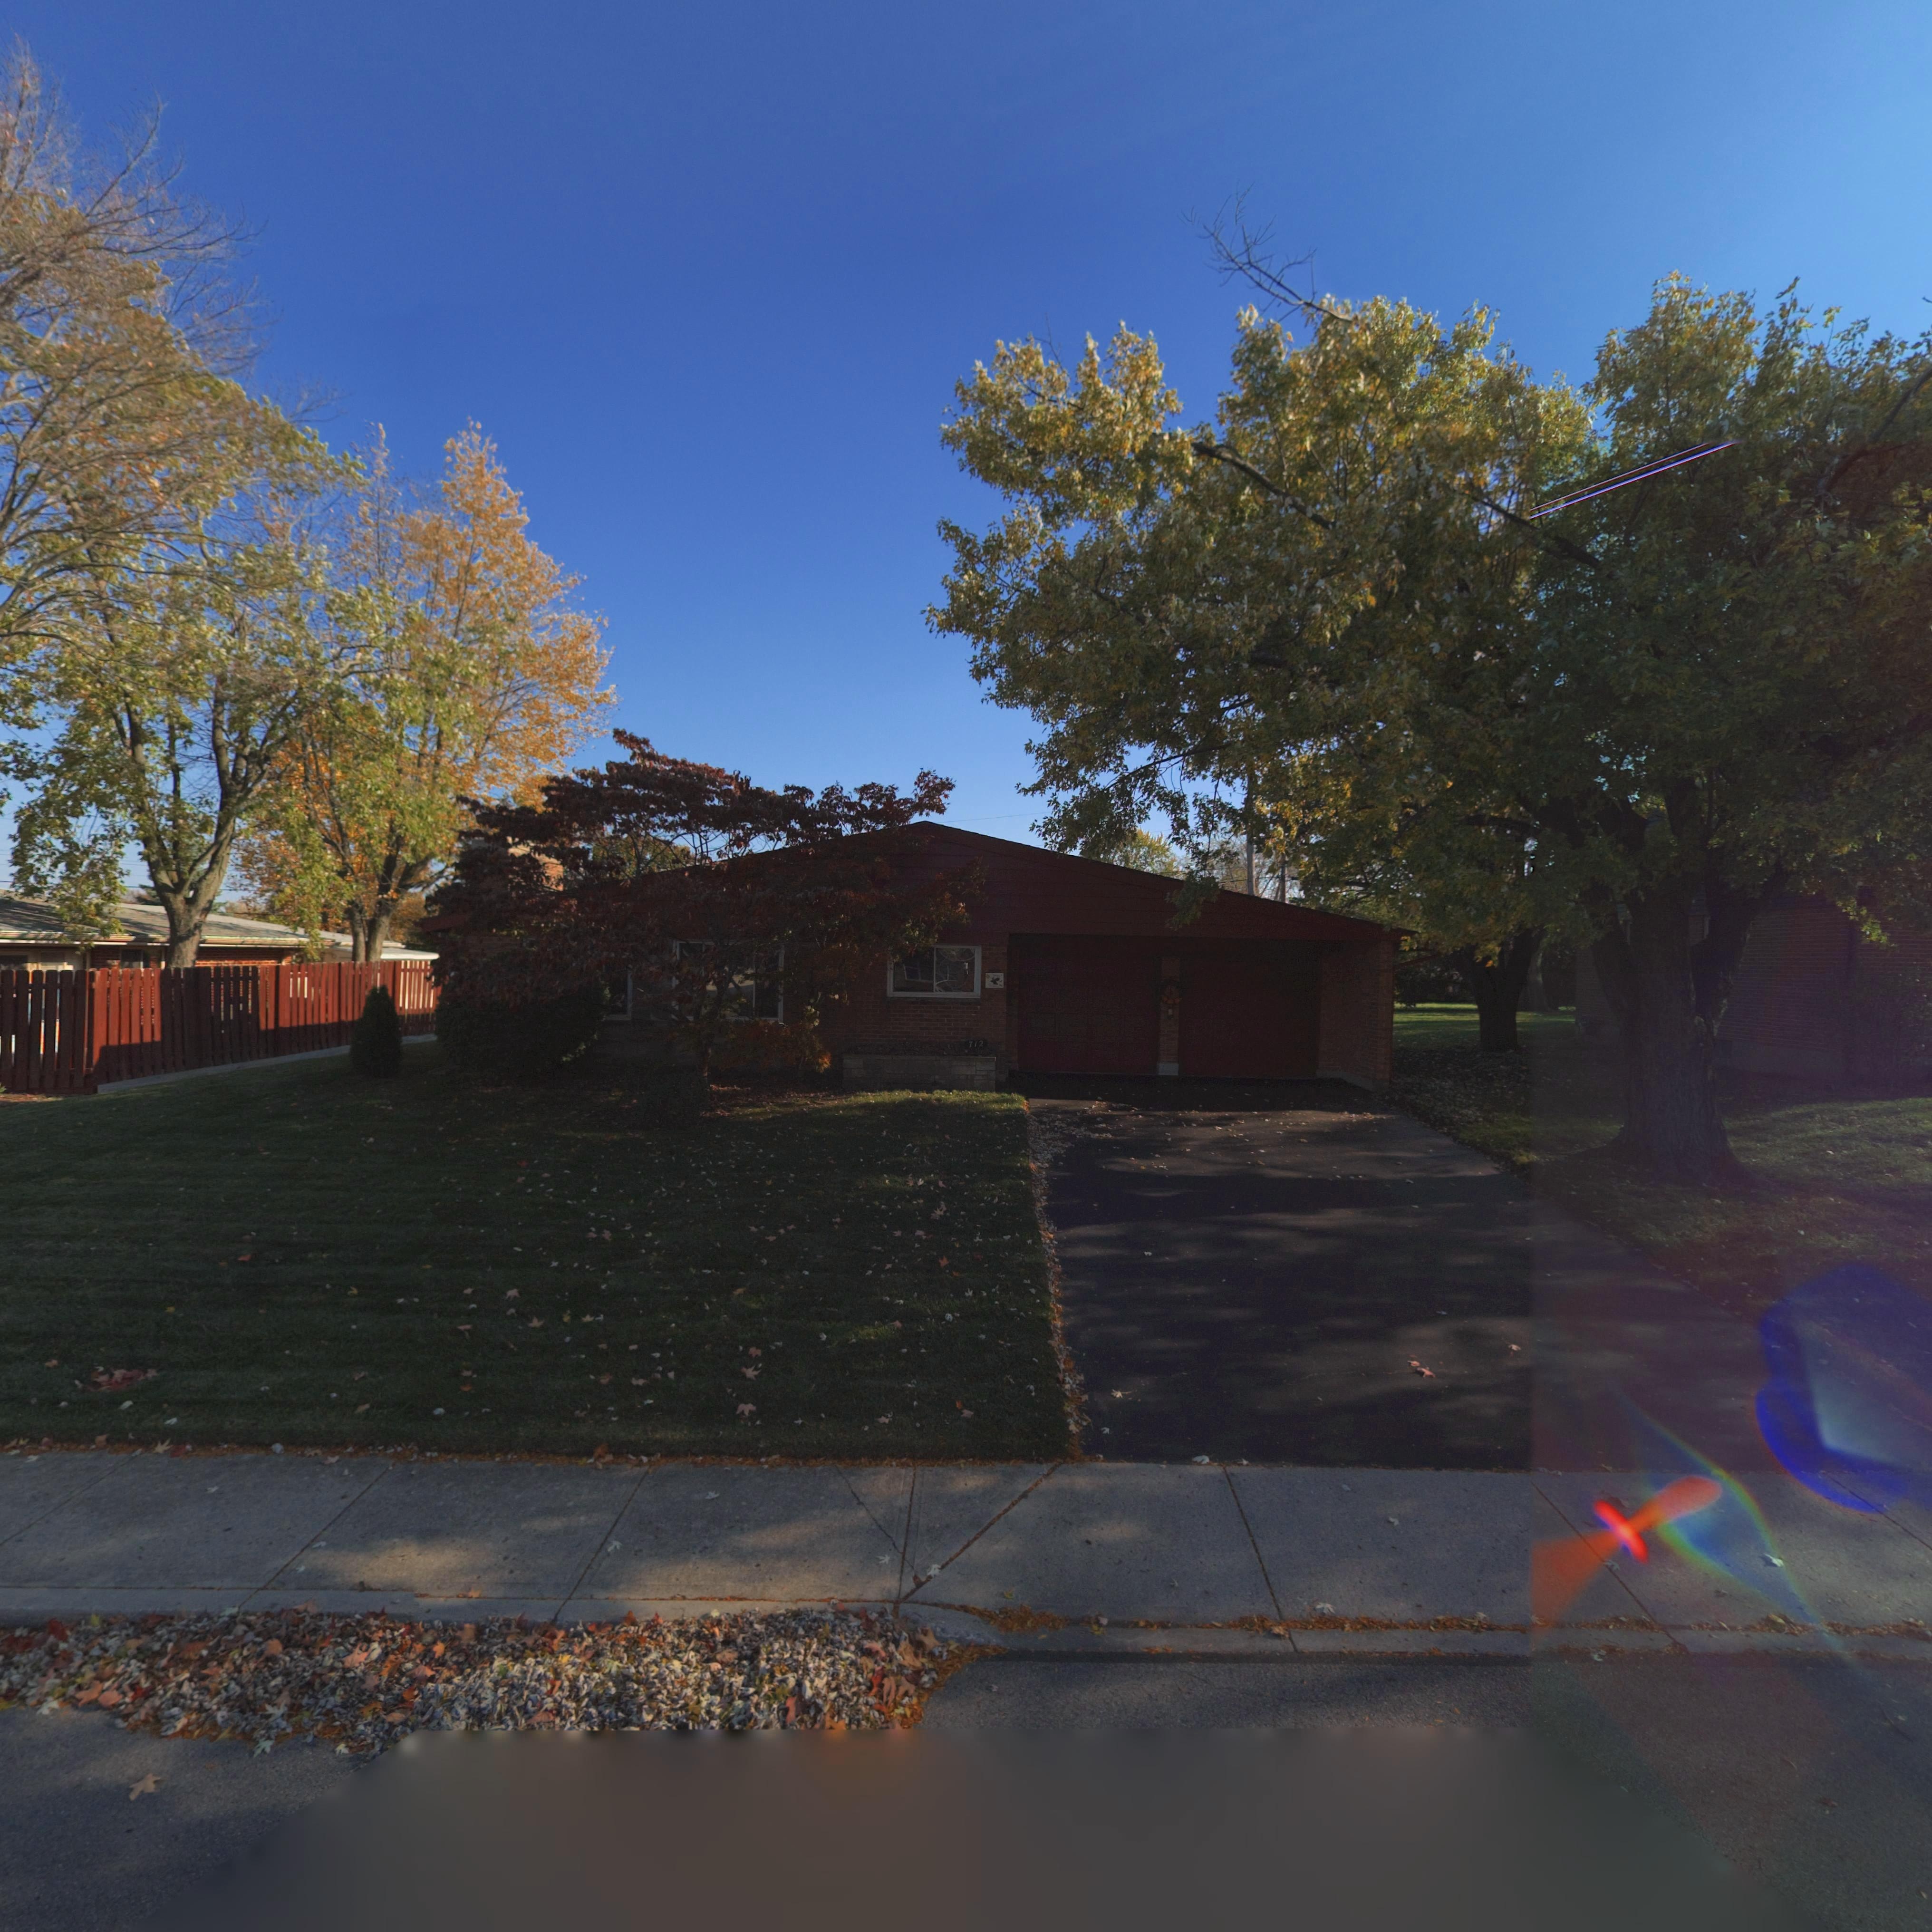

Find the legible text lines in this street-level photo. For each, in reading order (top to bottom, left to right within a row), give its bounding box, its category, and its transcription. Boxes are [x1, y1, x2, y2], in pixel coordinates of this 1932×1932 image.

[968, 1040, 984, 1047] StreetNumber: 712